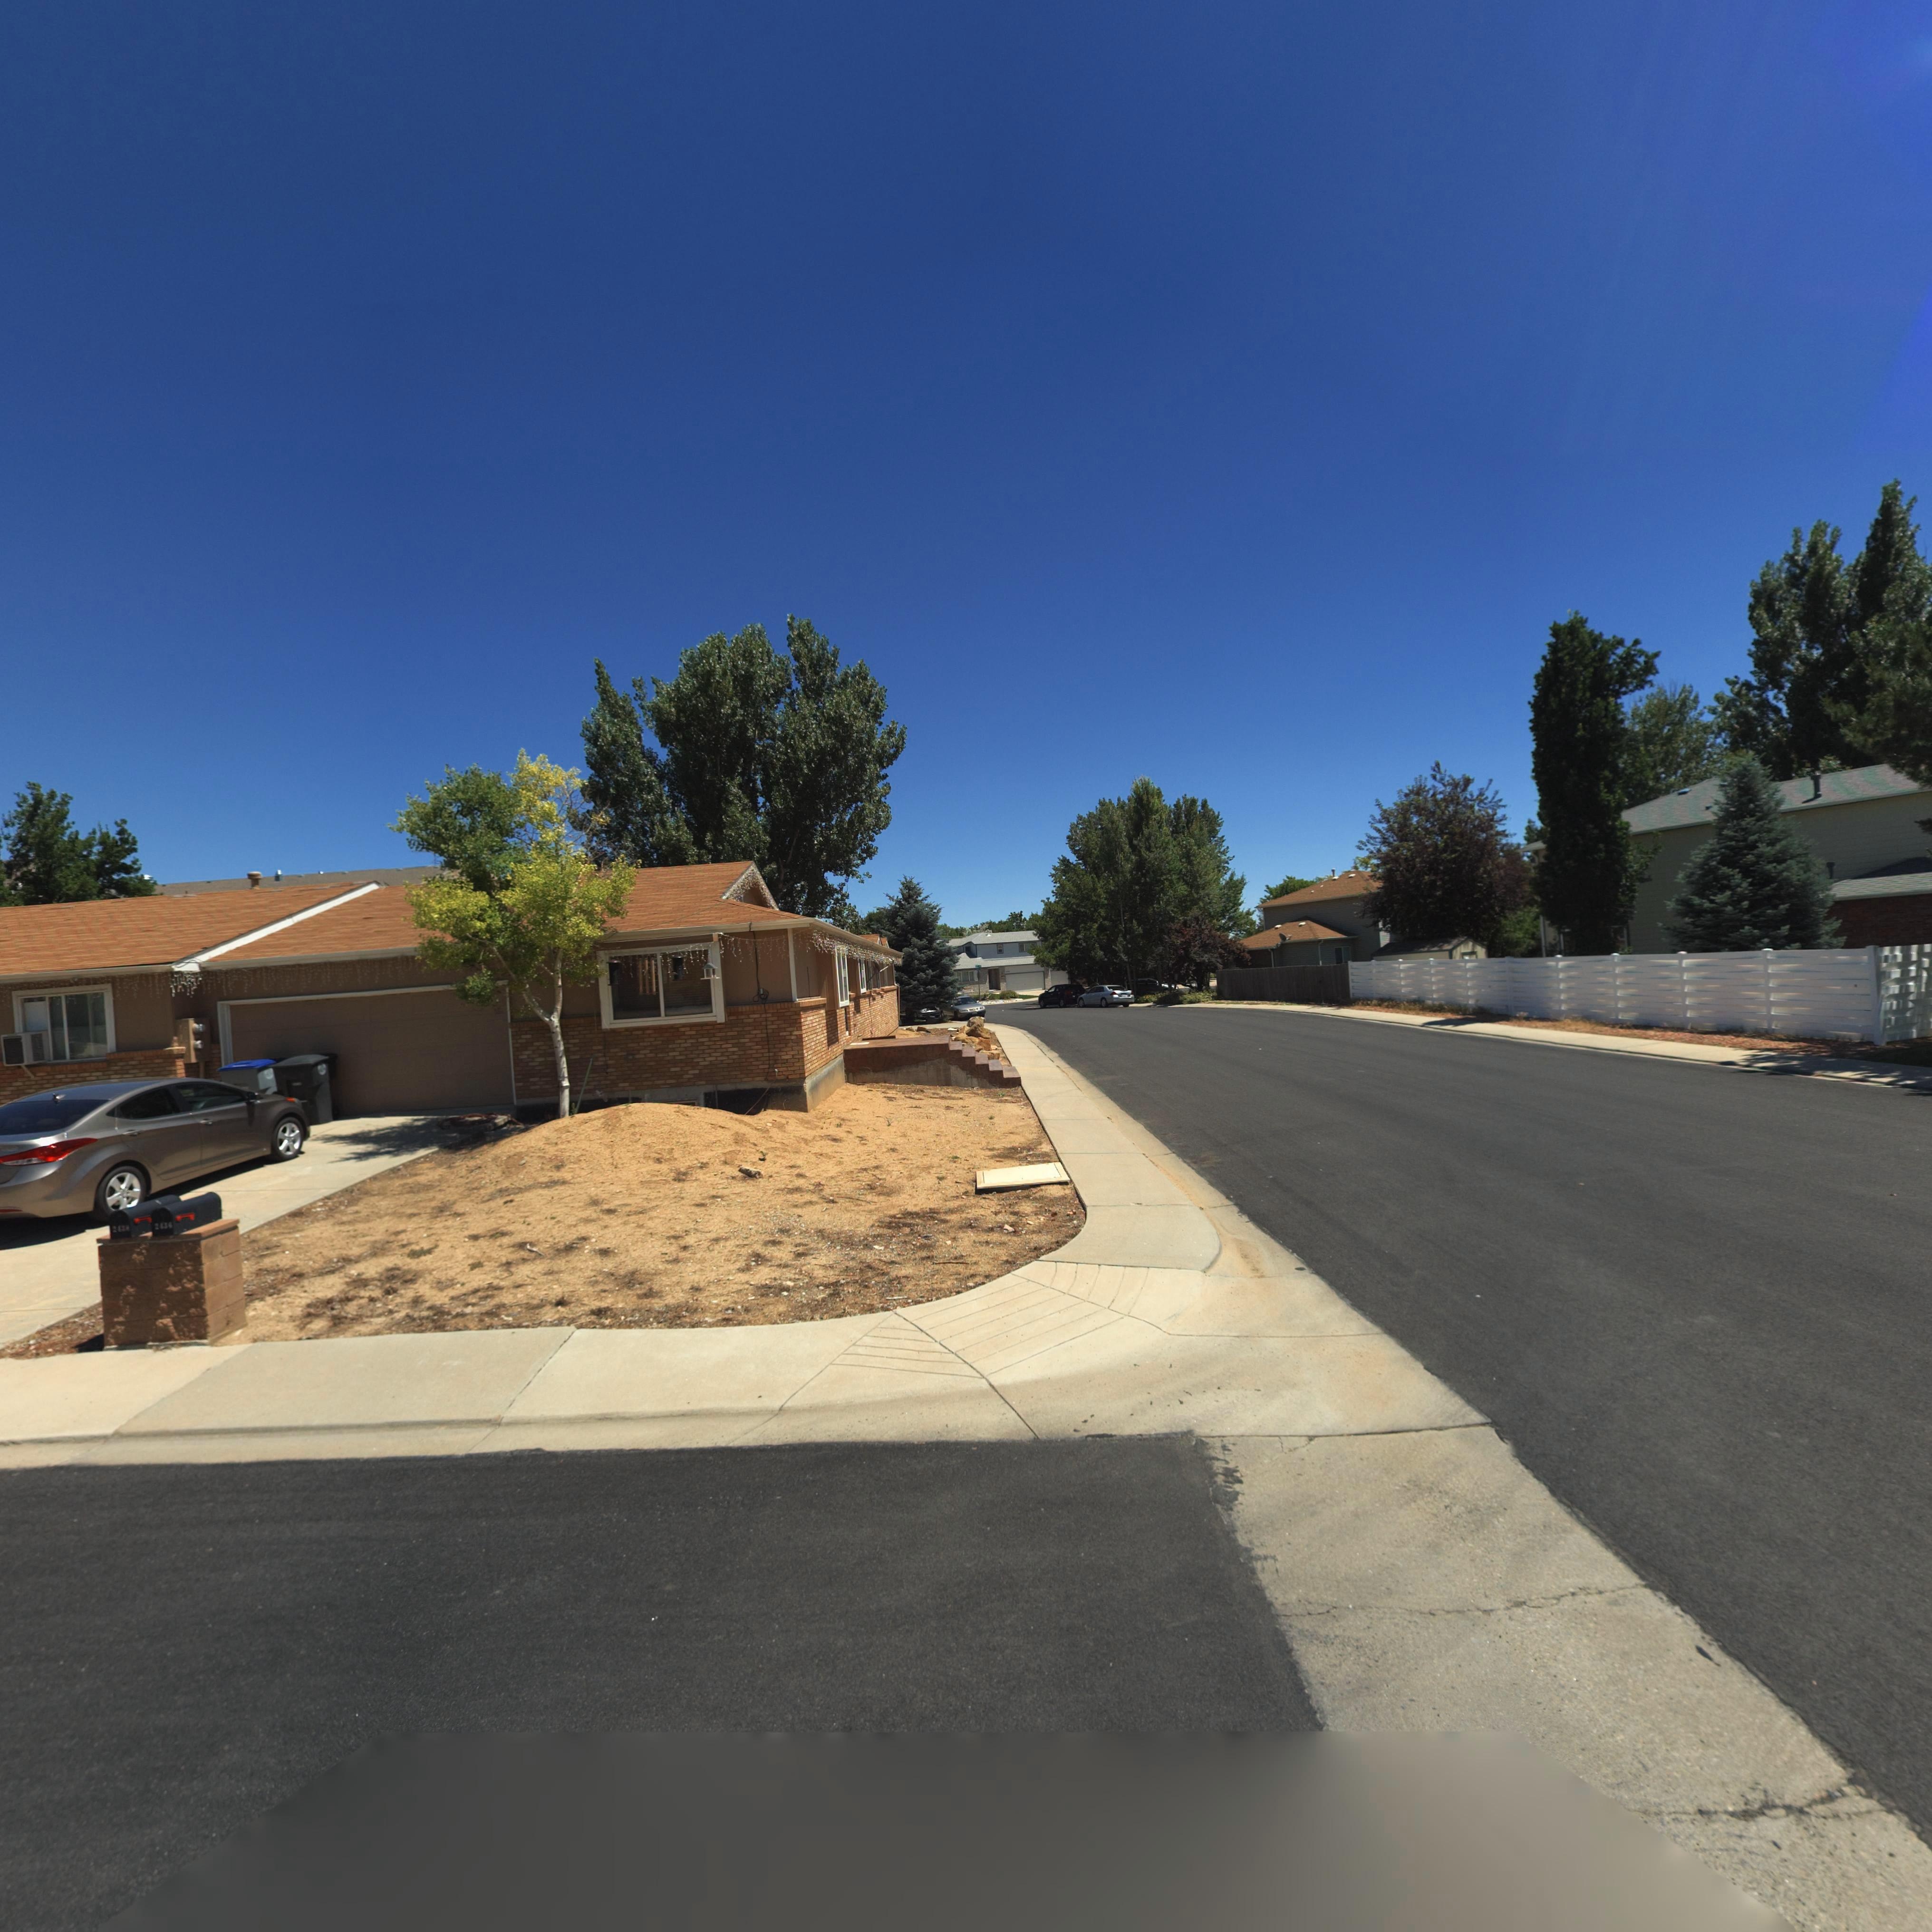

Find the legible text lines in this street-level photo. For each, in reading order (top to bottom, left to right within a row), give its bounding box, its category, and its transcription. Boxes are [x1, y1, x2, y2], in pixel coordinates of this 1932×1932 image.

[112, 1224, 130, 1233] StreetNumber: 2*38
[154, 1221, 173, 1229] StreetNumber: 2436